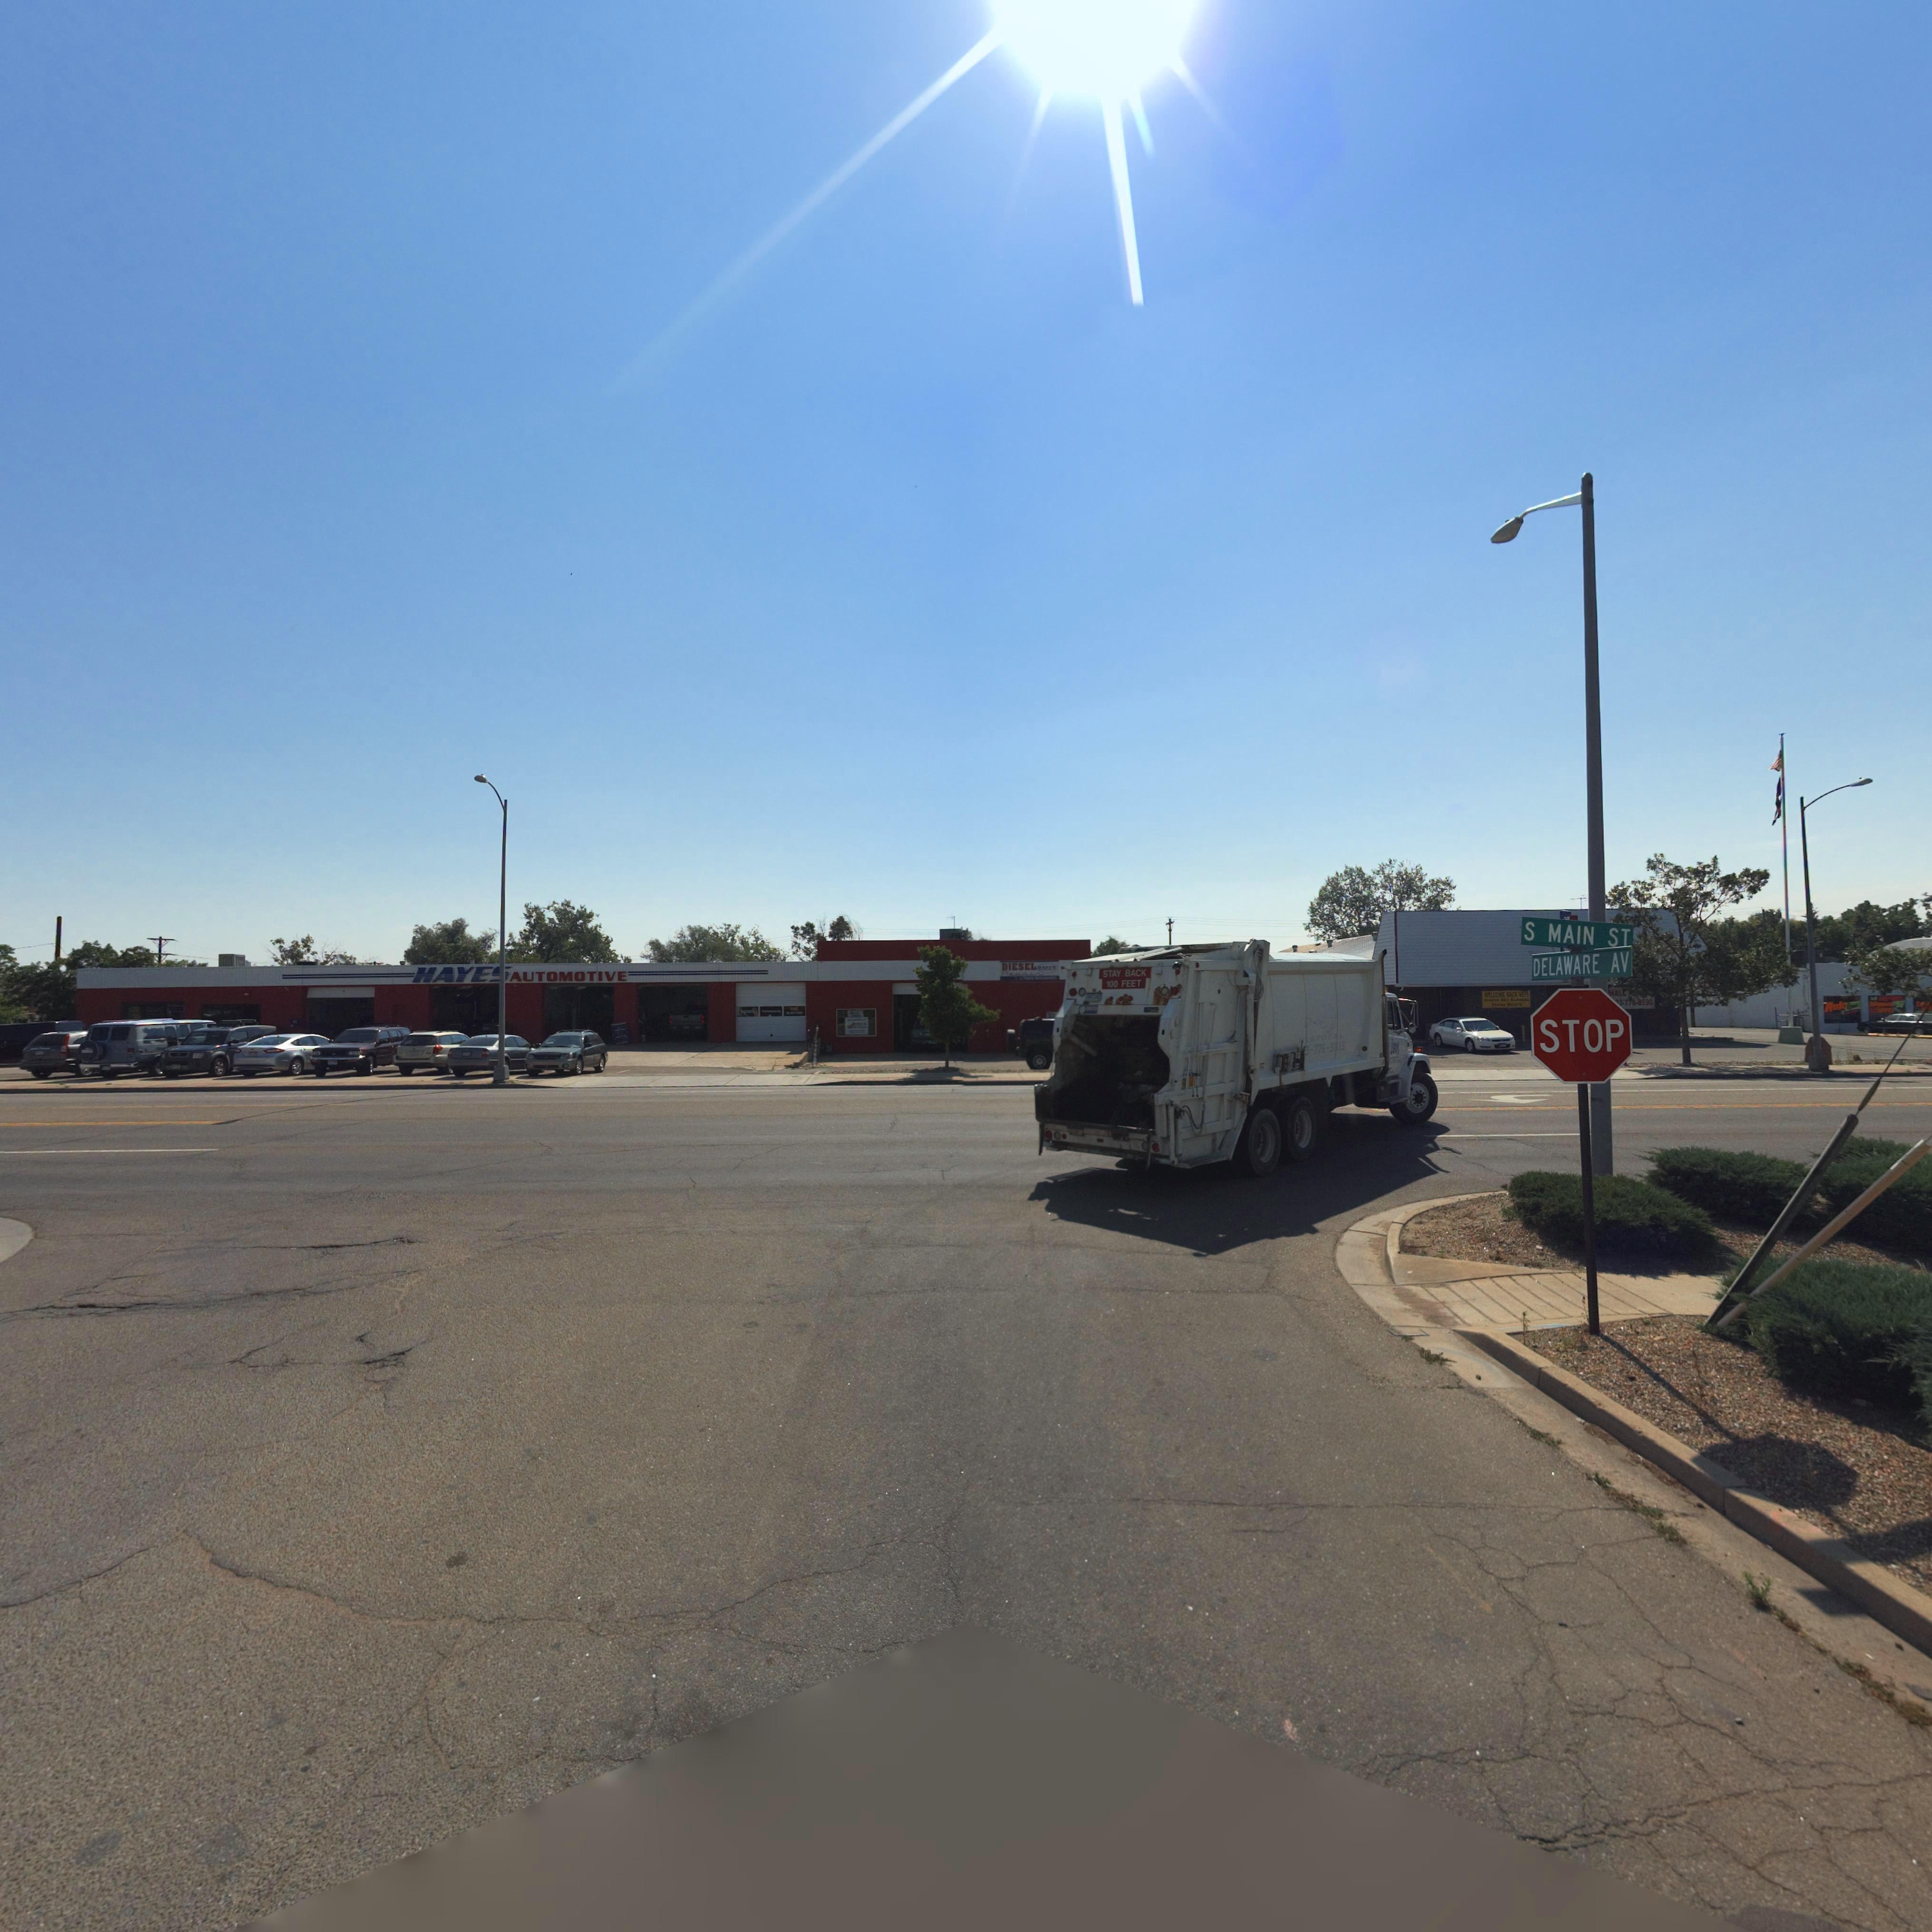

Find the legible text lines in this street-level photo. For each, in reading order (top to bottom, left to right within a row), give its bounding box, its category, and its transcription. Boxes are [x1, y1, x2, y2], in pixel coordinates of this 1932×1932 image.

[1523, 919, 1632, 948] StreetName: S MAIN ST
[410, 965, 629, 984] BusinessName: HAYE*AUTOMOTIVE
[1533, 950, 1630, 976] StreetName: DELAWARE AV